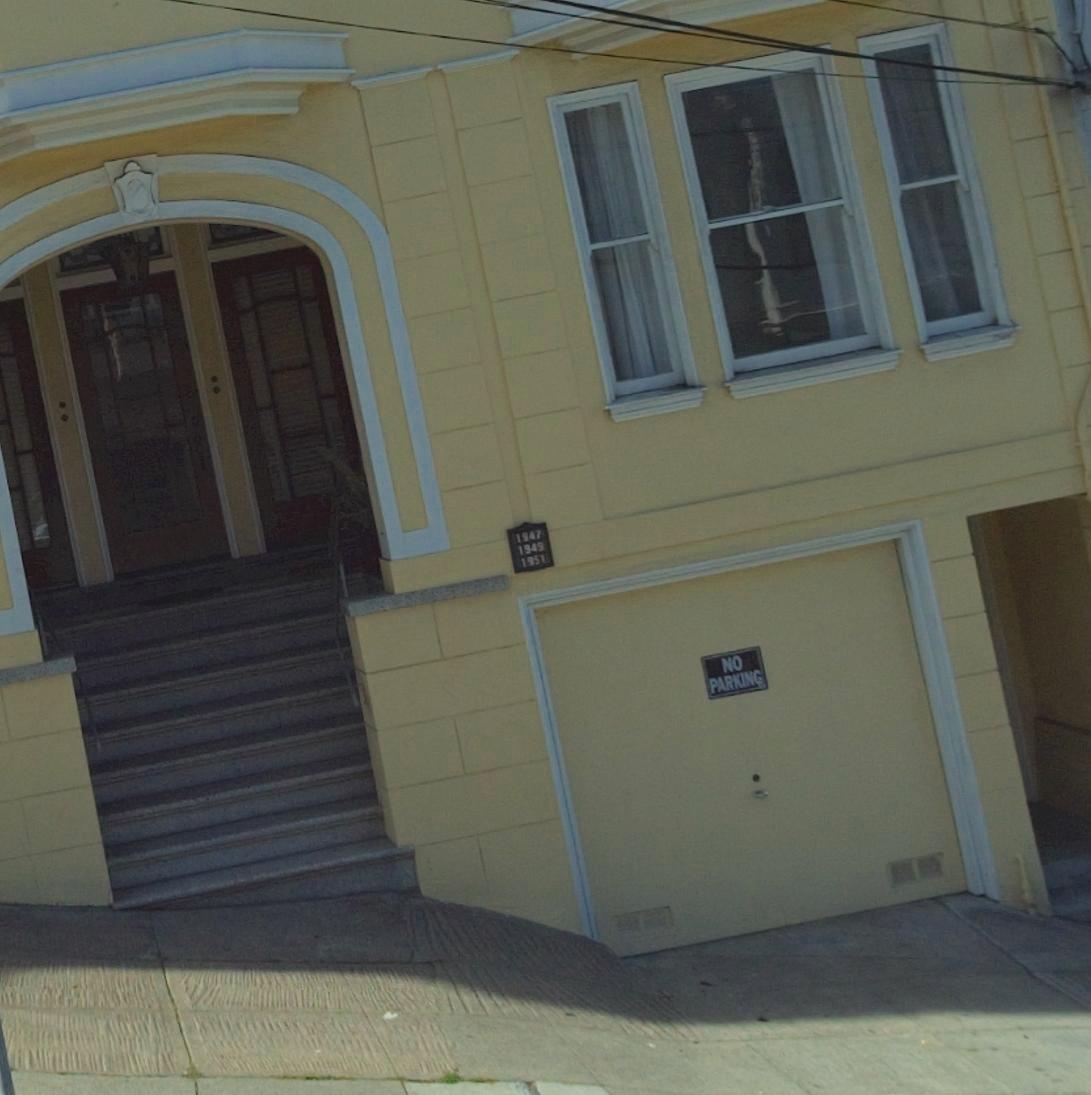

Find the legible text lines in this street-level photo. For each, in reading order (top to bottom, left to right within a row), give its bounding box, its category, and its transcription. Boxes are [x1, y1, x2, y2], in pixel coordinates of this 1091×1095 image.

[513, 527, 543, 545] StreetNumber: 1947
[516, 539, 546, 556] StreetNumber: 1949
[518, 551, 547, 570] StreetNumber: 1951
[718, 652, 745, 676] None: NO
[707, 666, 766, 697] None: PARKING